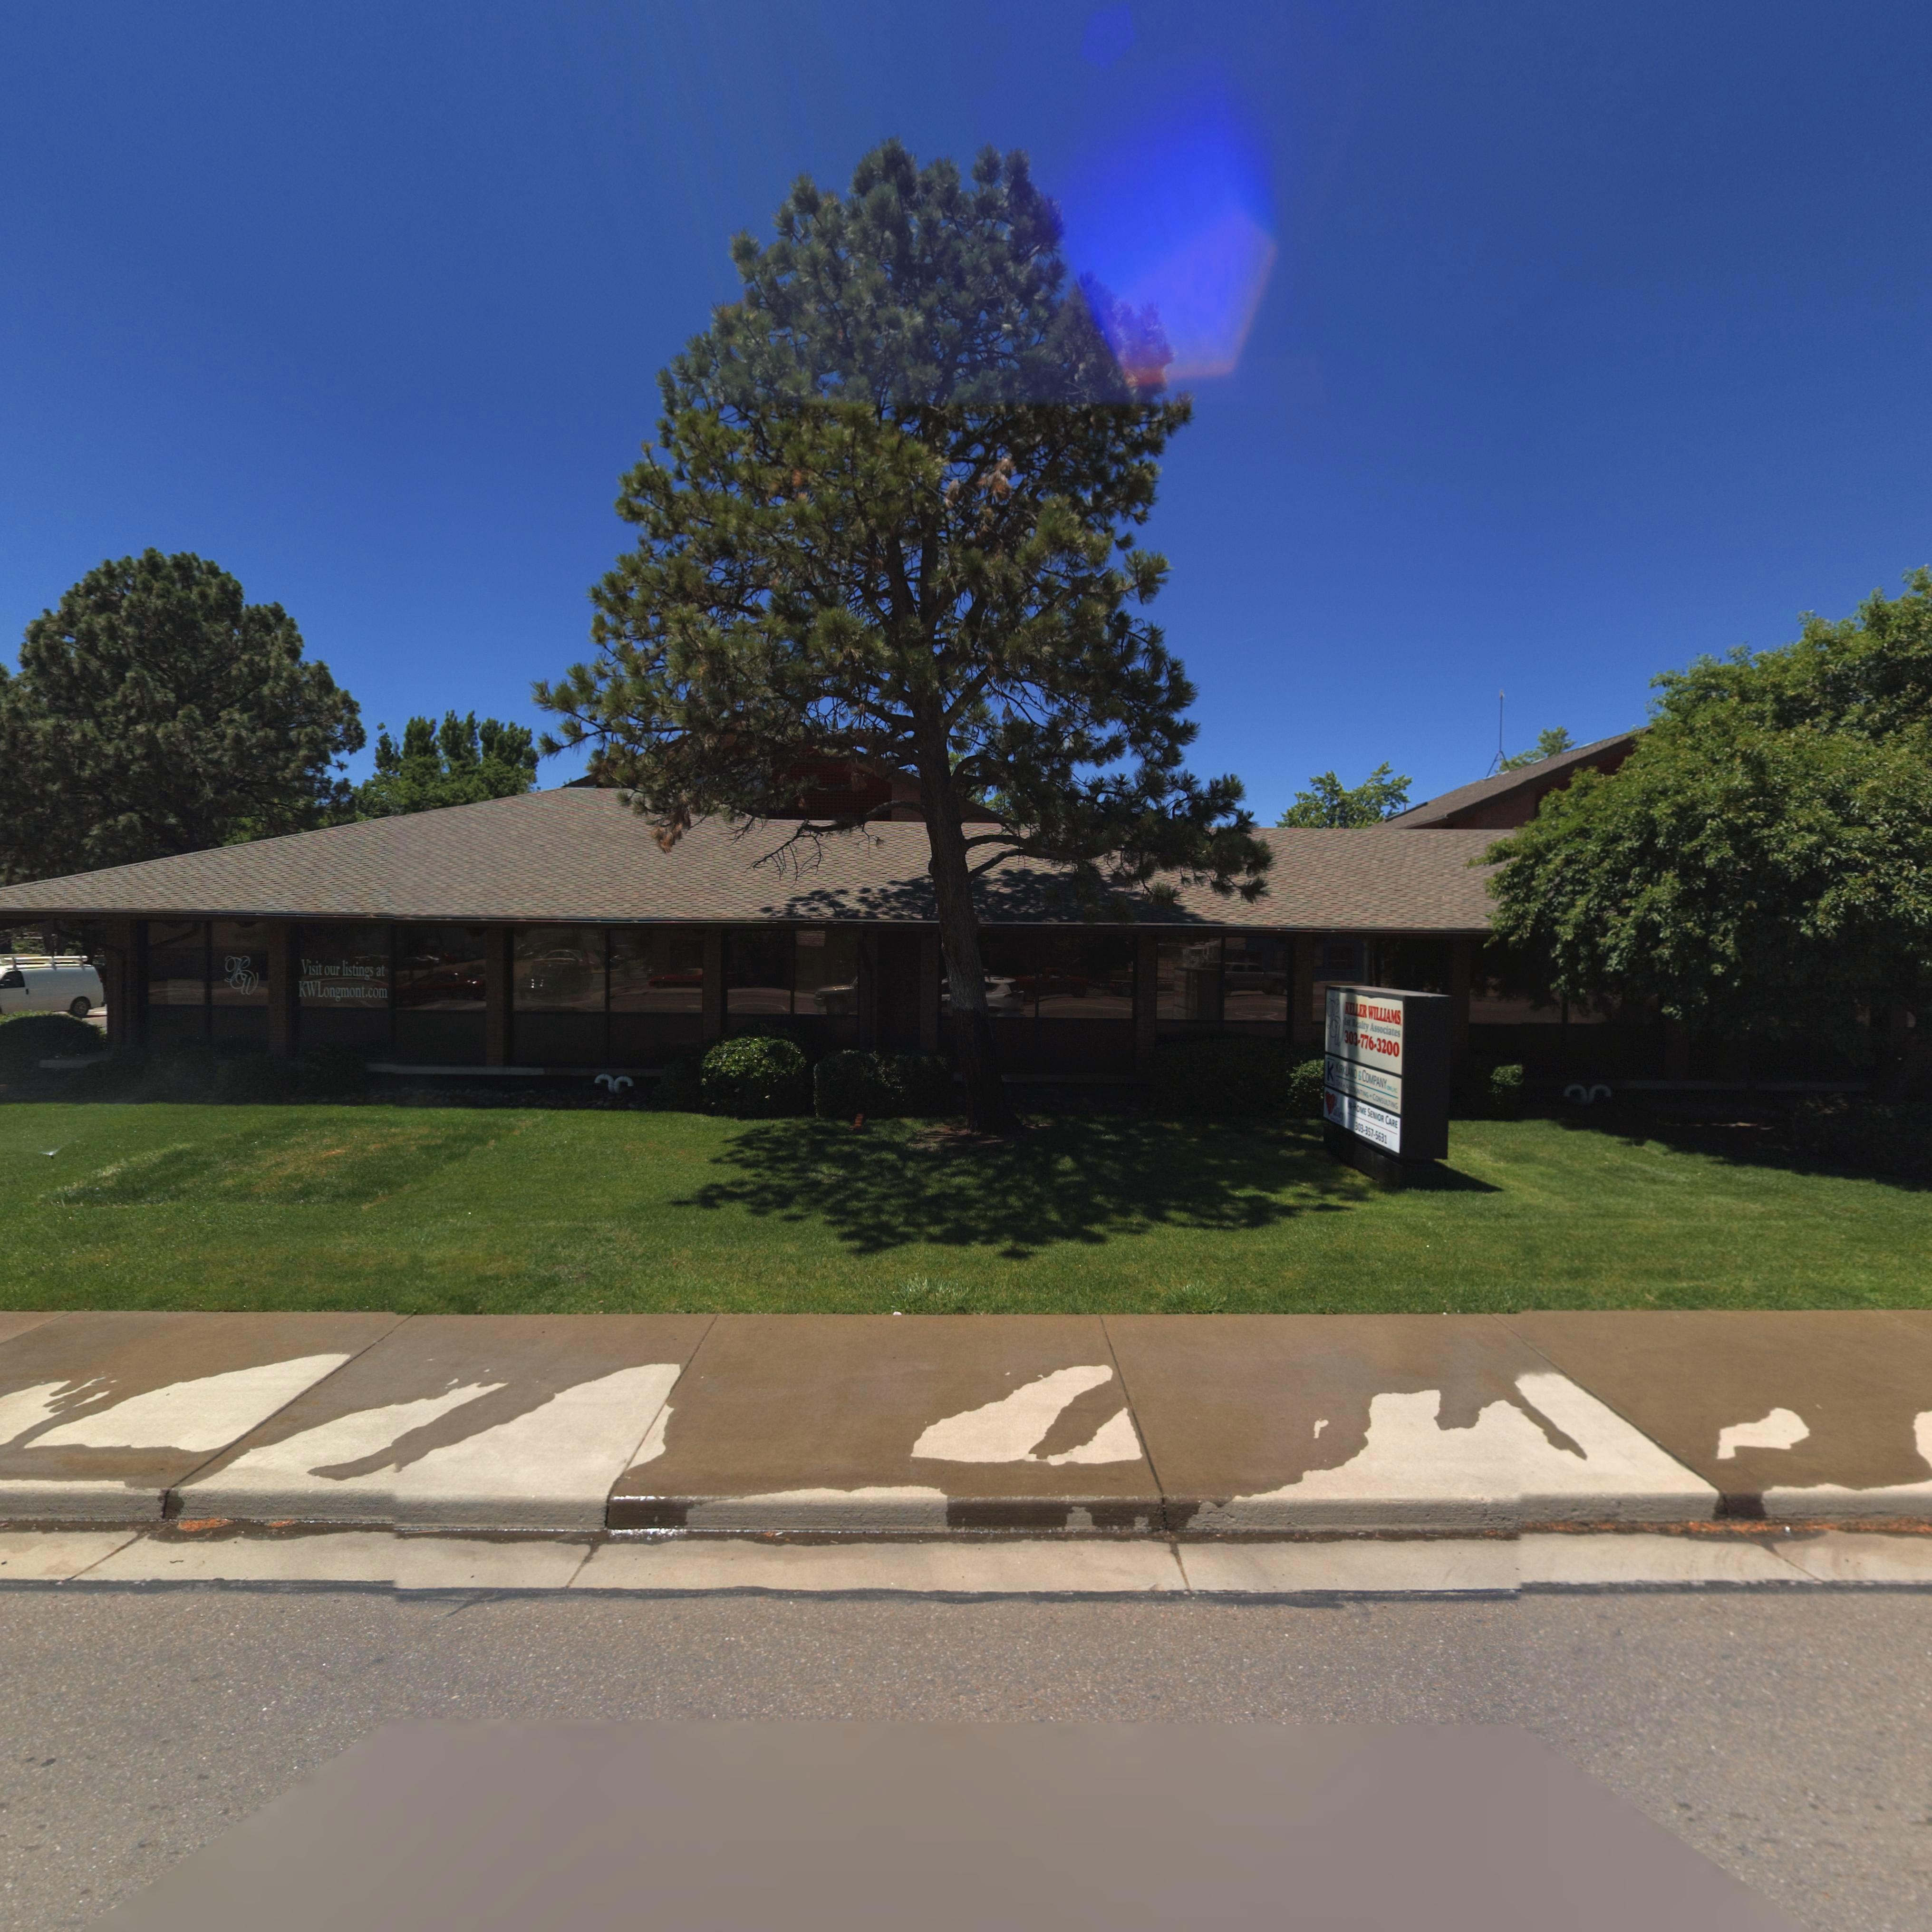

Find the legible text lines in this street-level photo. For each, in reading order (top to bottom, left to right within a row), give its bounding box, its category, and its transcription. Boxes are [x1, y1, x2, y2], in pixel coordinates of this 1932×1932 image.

[1344, 1000, 1401, 1025] BusinessName: KELLER WILLIAMS
[1343, 1016, 1401, 1038] BusinessName: 1st Realty Associates
[1335, 1061, 1388, 1090] BusinessName: KIRKLAND * COMPANY
[1332, 1106, 1344, 1121] BusinessName: alley